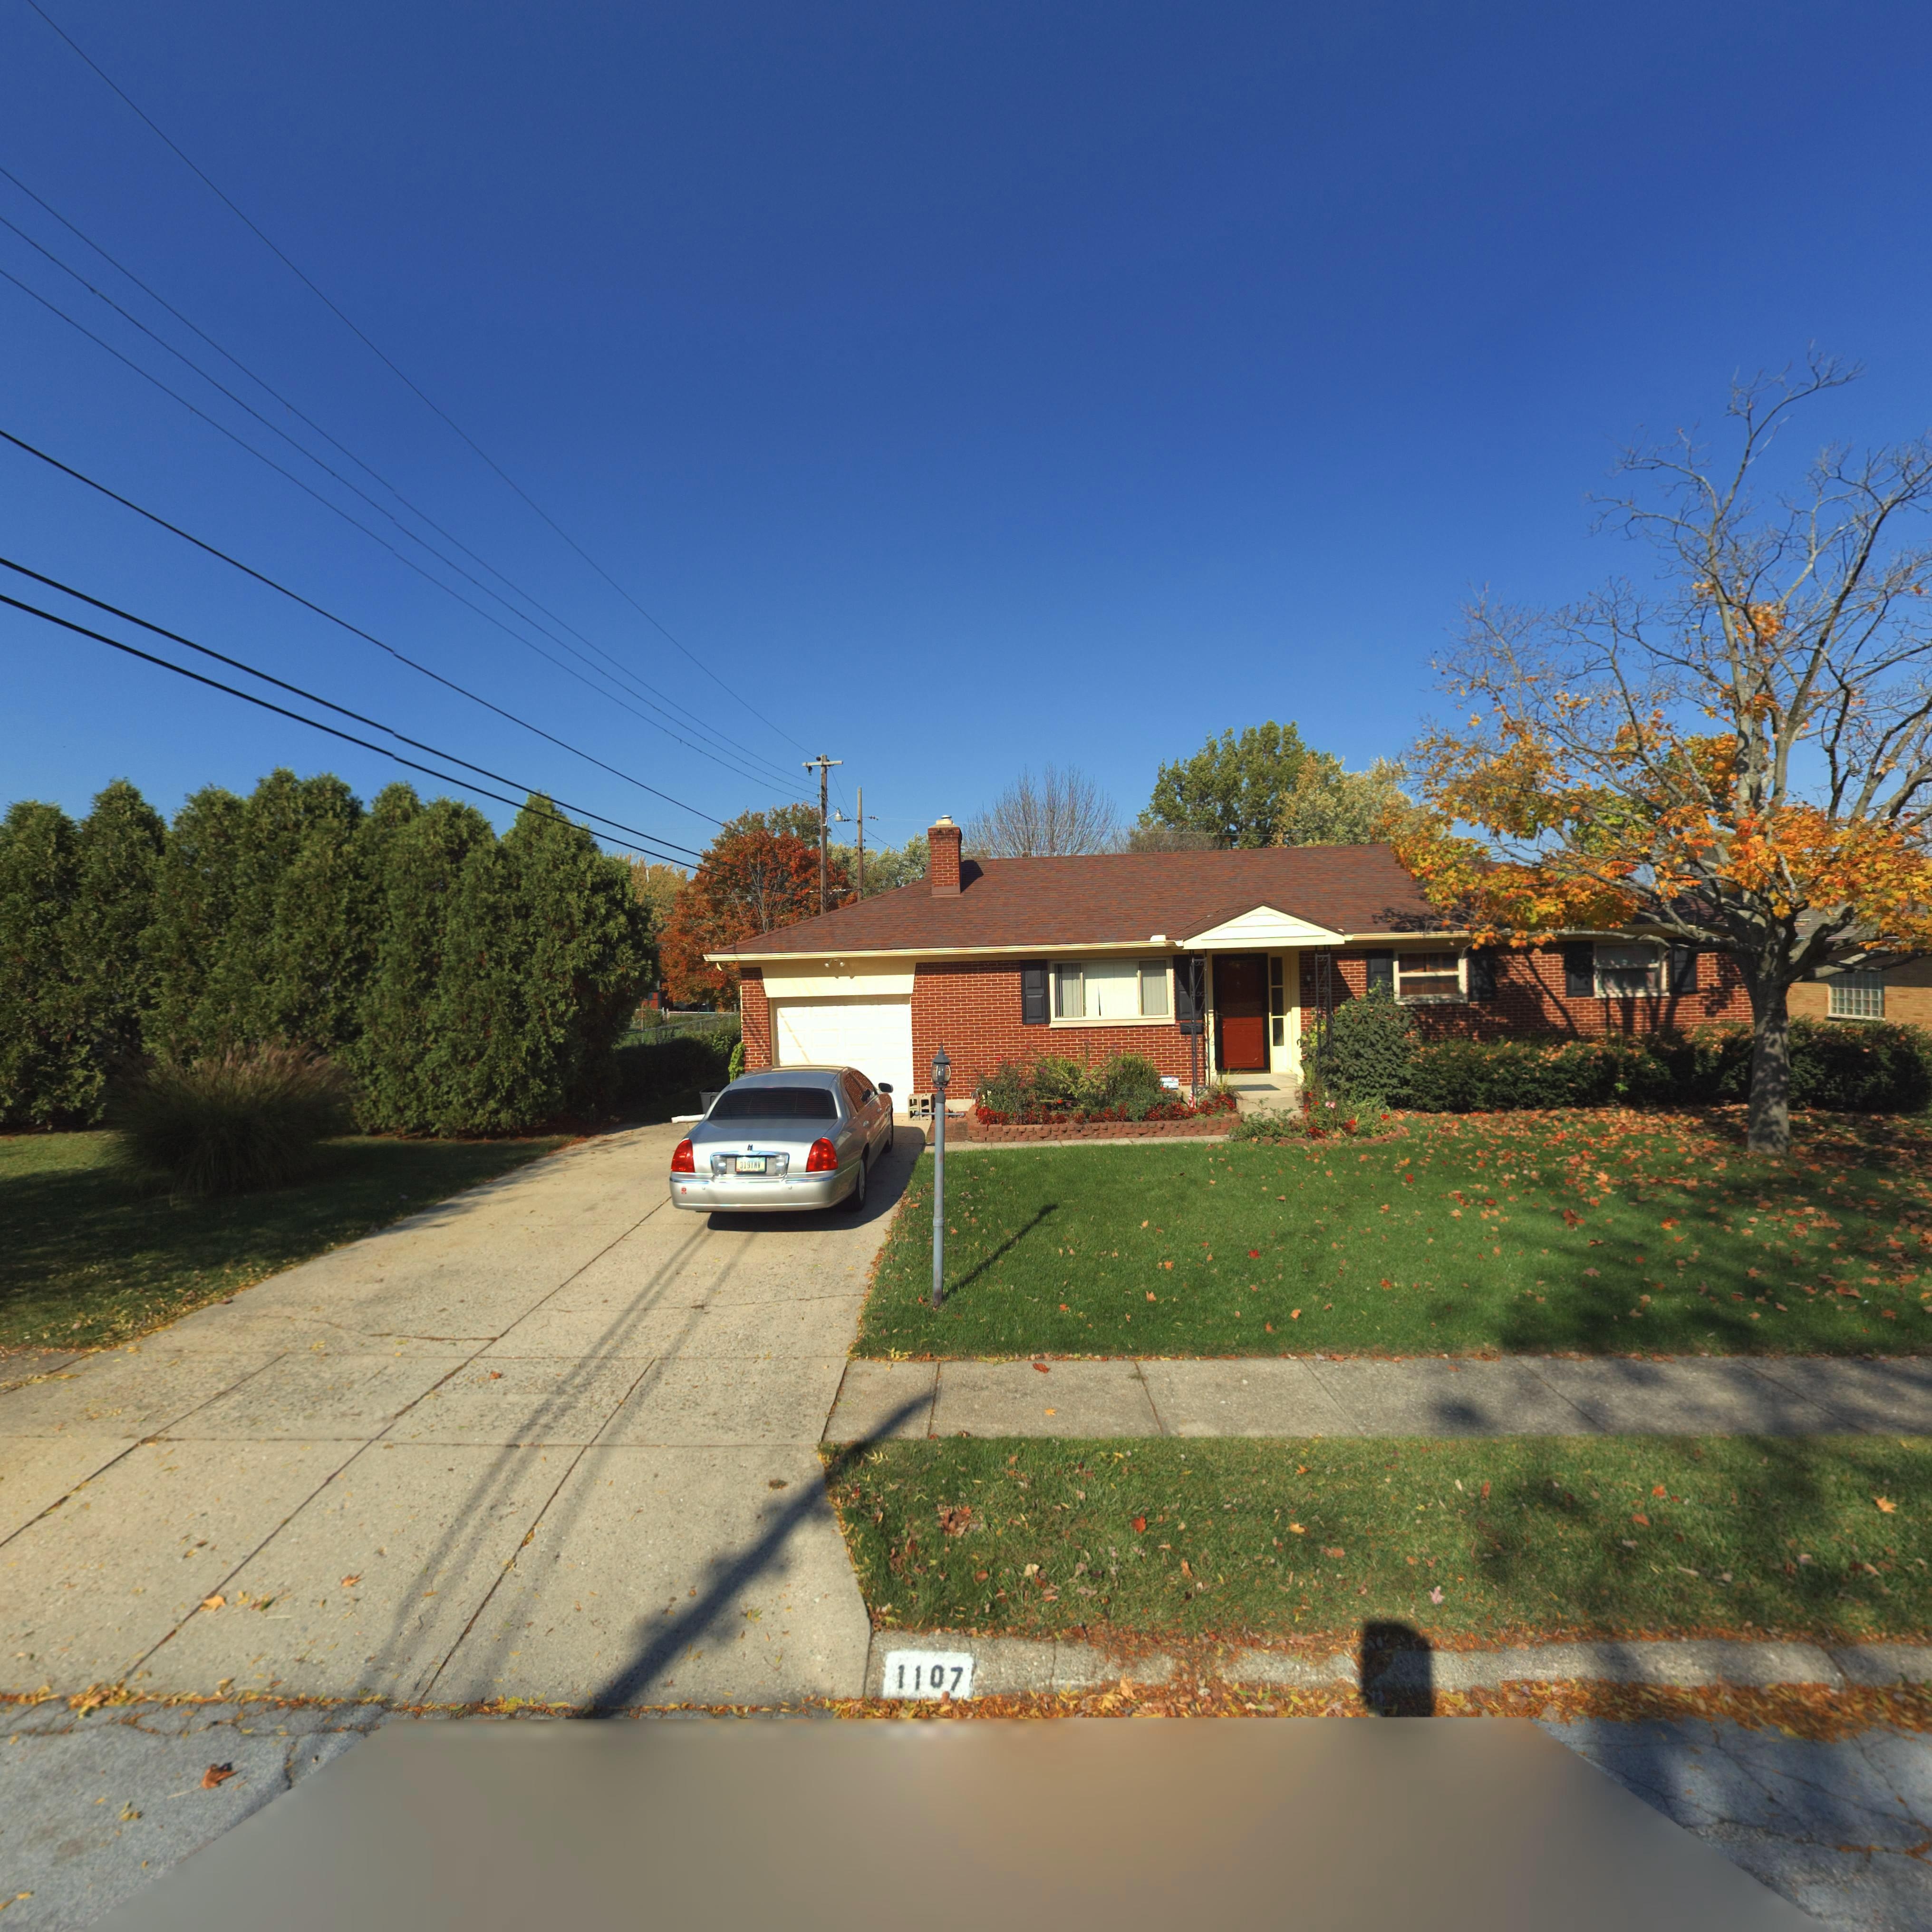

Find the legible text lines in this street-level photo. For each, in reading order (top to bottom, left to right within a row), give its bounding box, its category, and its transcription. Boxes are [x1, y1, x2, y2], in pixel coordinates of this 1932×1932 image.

[896, 1663, 966, 1694] StreetNumber: 1107